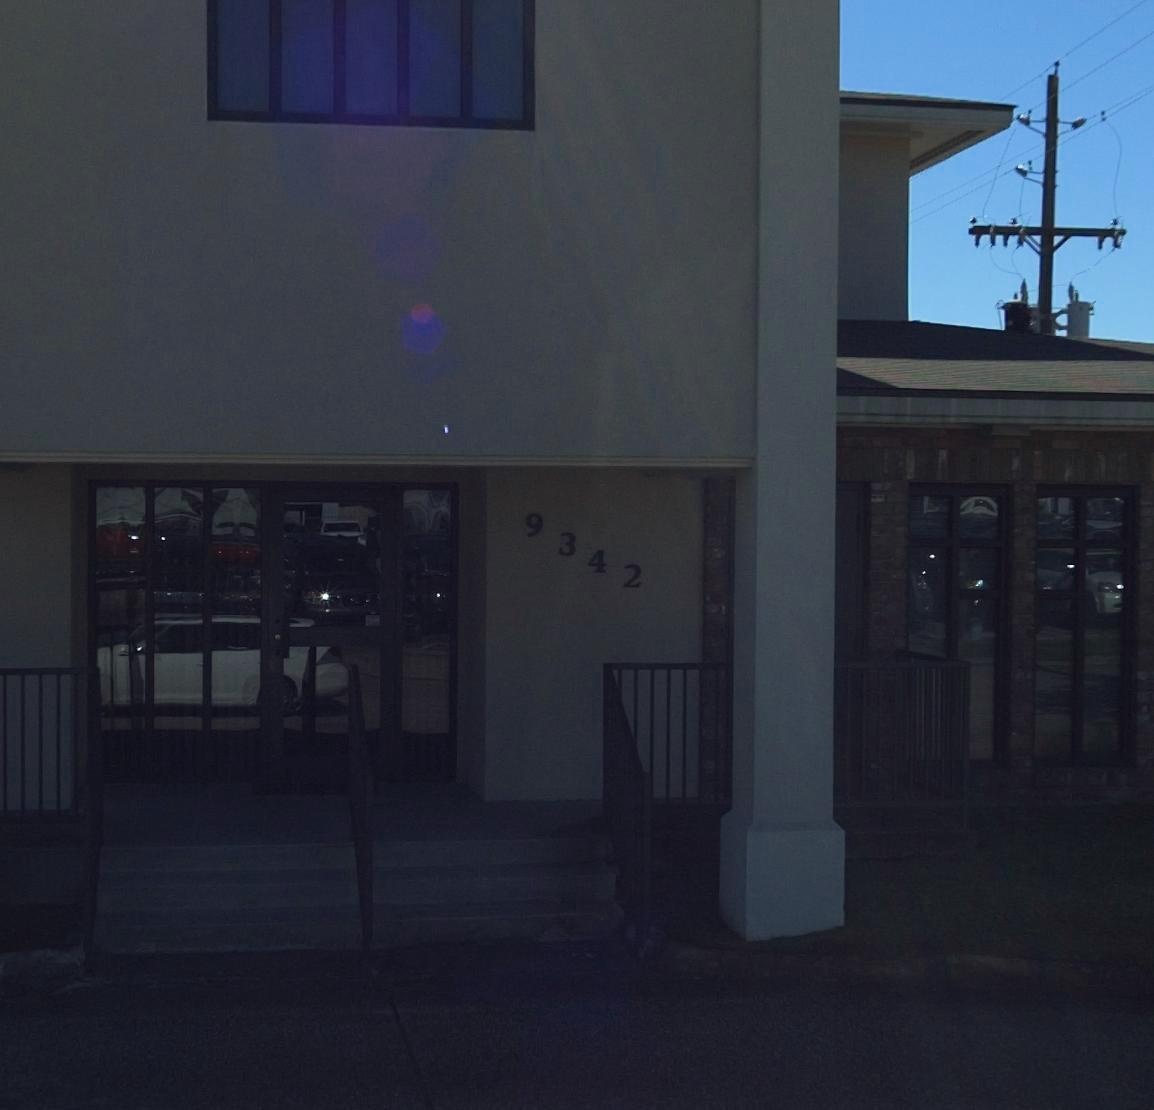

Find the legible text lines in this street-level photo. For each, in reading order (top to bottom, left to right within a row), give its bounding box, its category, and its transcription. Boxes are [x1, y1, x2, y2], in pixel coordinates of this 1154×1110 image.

[522, 511, 644, 592] StreetNumber: 9342